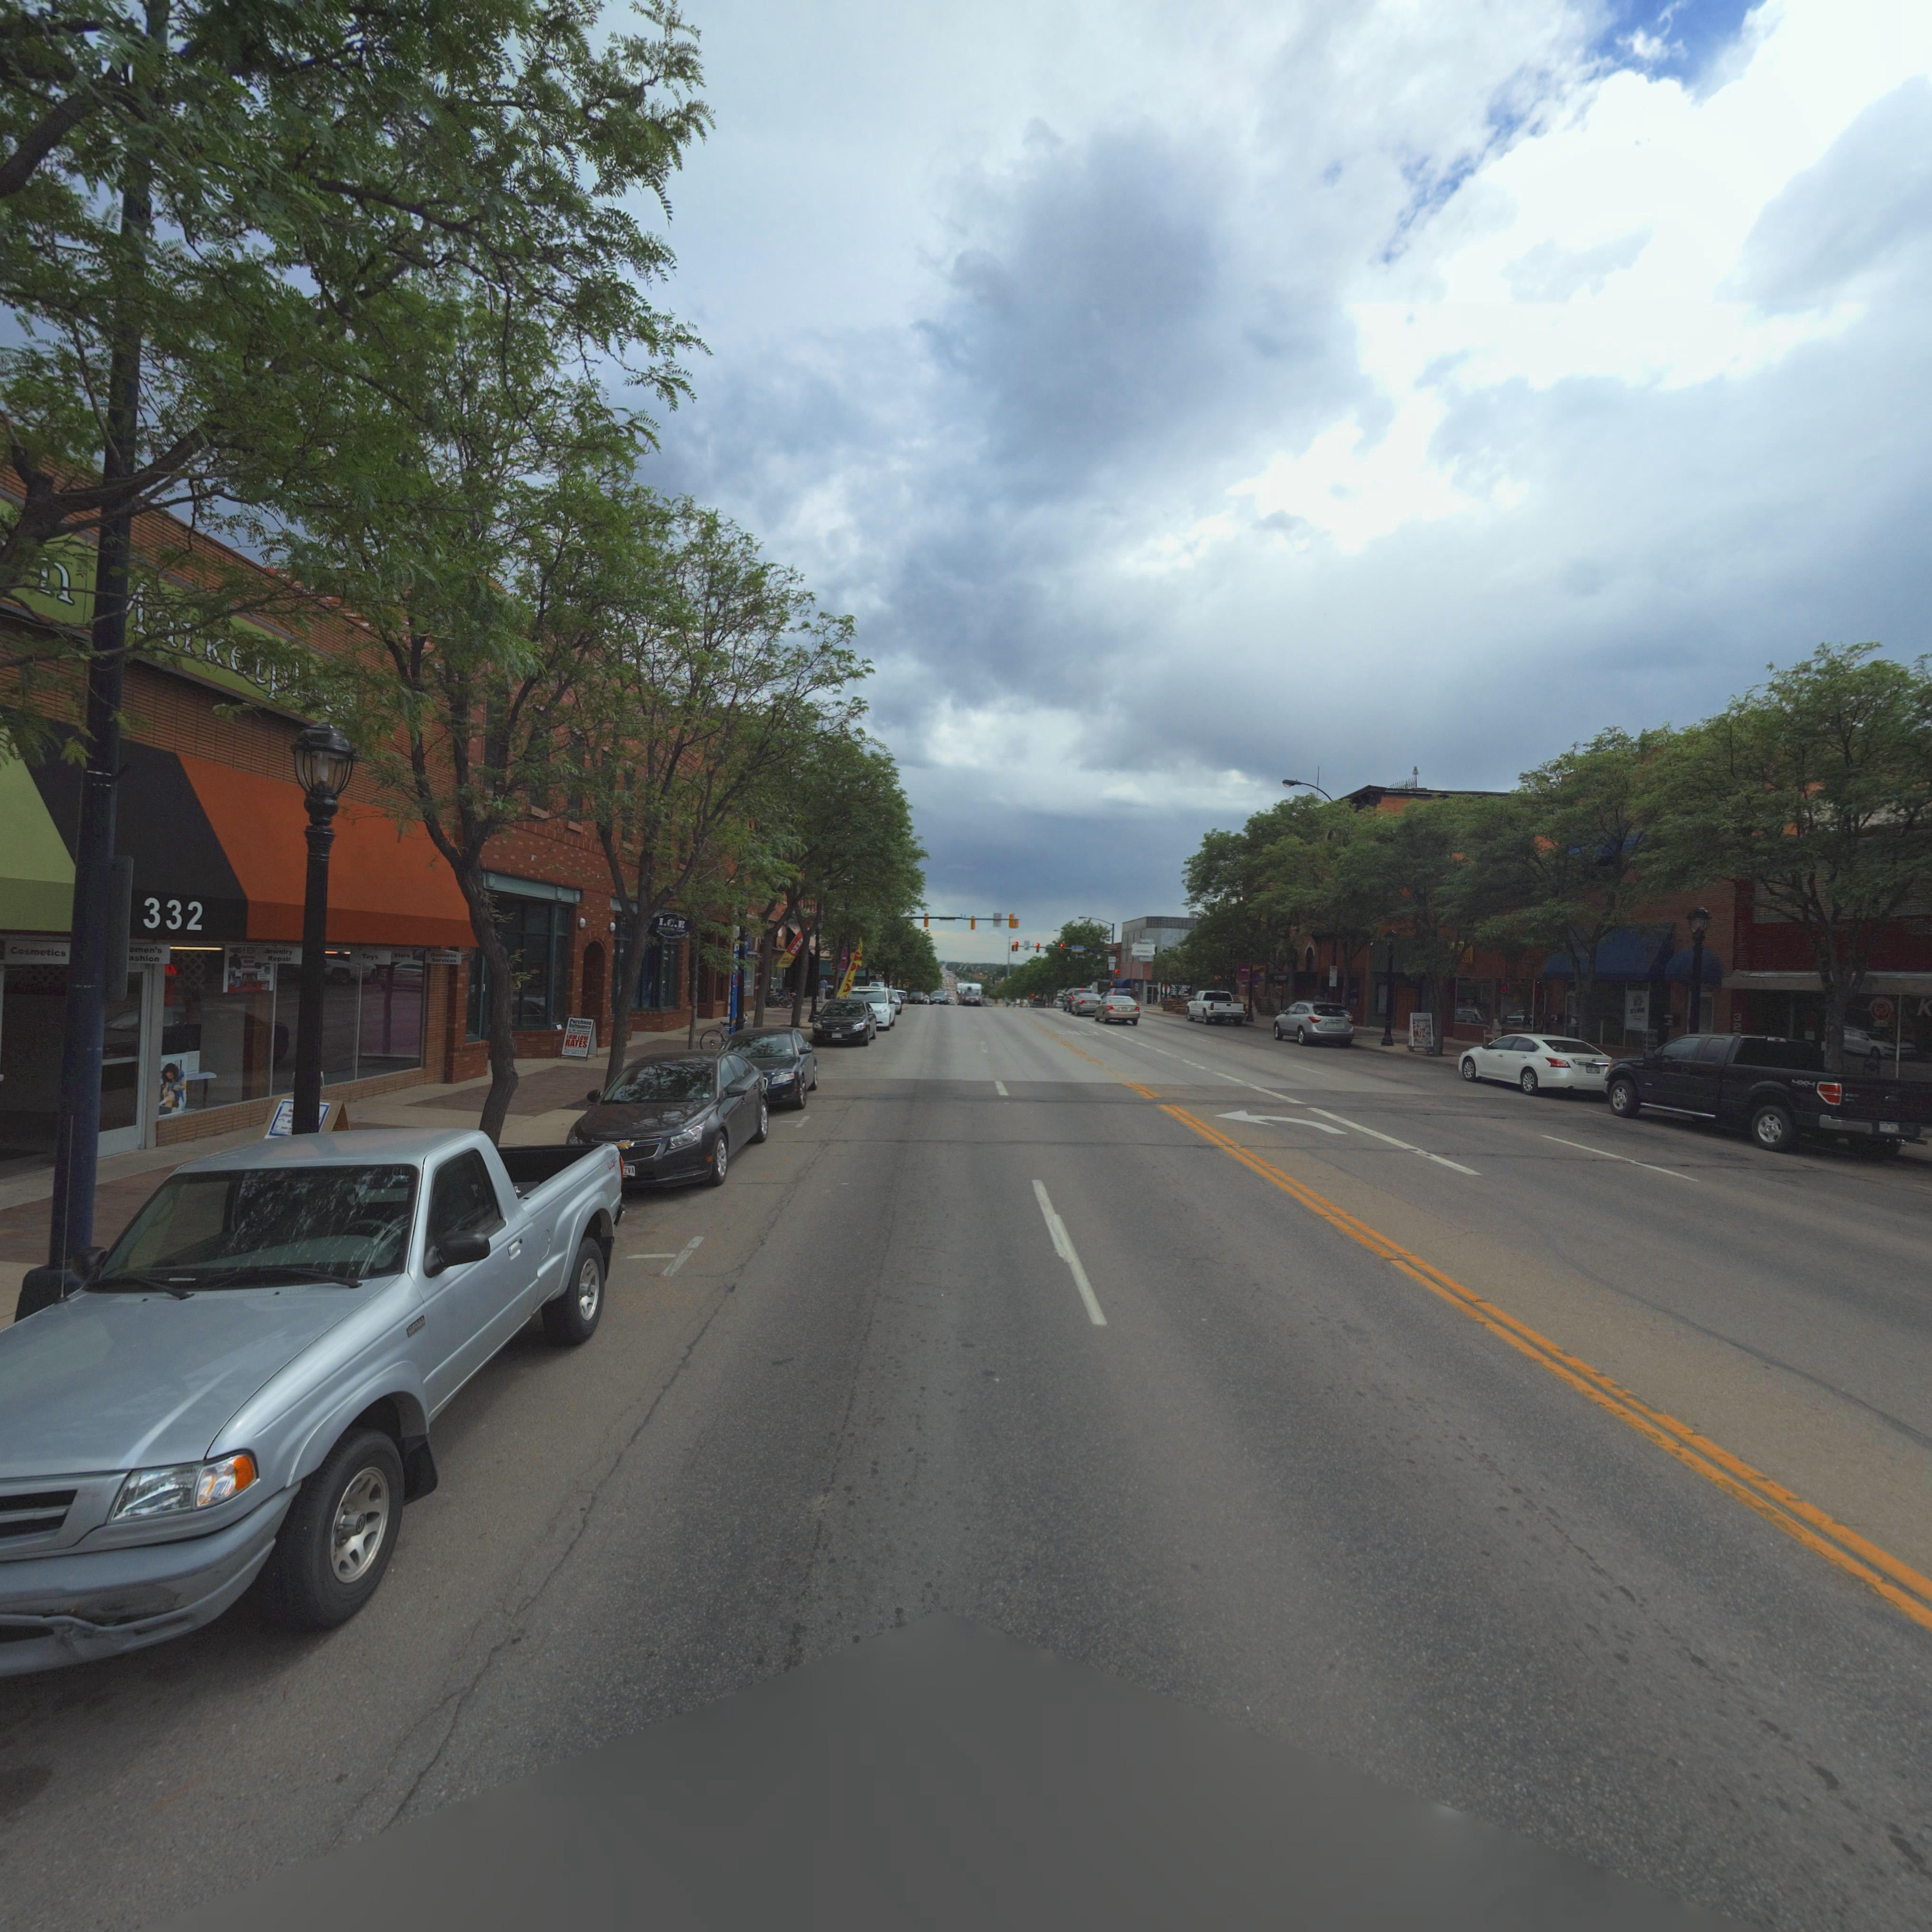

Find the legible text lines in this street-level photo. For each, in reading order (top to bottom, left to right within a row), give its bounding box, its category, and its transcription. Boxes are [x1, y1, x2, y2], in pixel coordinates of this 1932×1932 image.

[31, 551, 356, 721] BusinessName: *** ***n *arketpl*ce
[142, 897, 203, 931] StreetNumber: 332
[658, 918, 685, 928] BusinessName: I.C.E
[1170, 984, 1191, 989] BusinessName: ***BY
[1732, 1012, 1742, 1034] StreetNumber: 32*